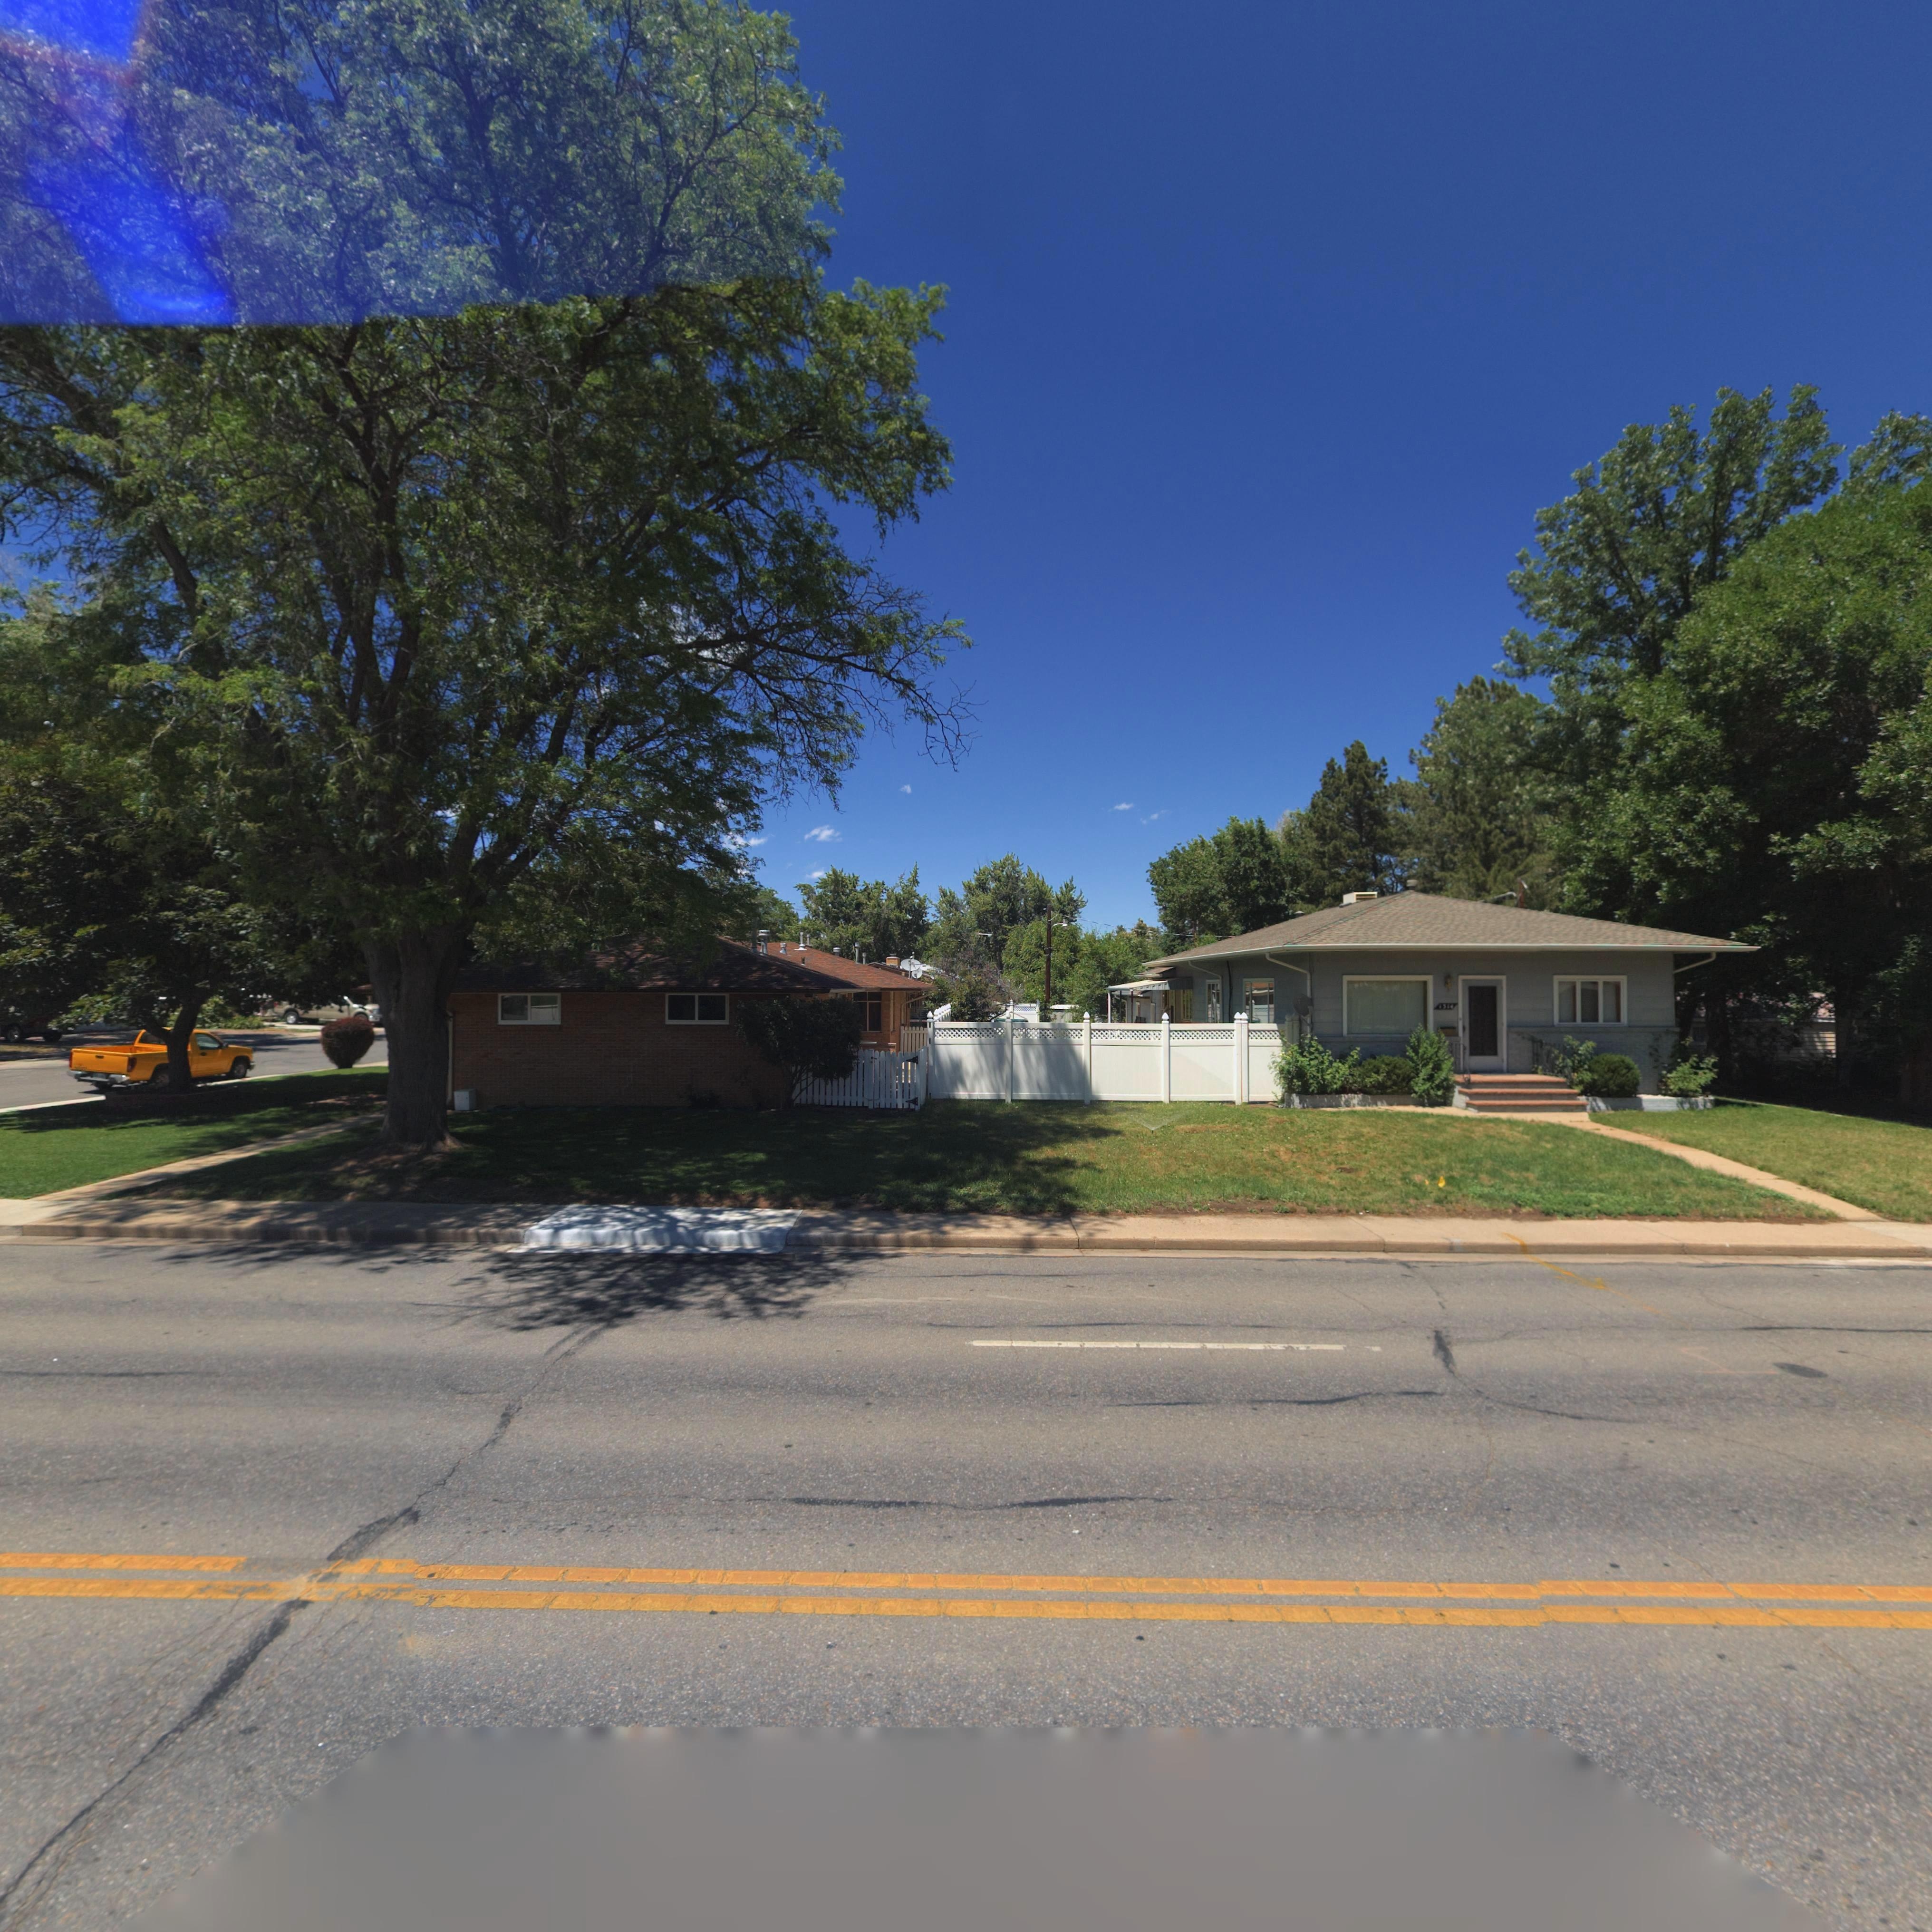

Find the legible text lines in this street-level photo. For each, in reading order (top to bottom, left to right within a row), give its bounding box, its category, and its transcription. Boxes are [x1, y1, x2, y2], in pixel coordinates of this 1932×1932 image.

[1438, 1003, 1453, 1009] StreetNumber: 1314